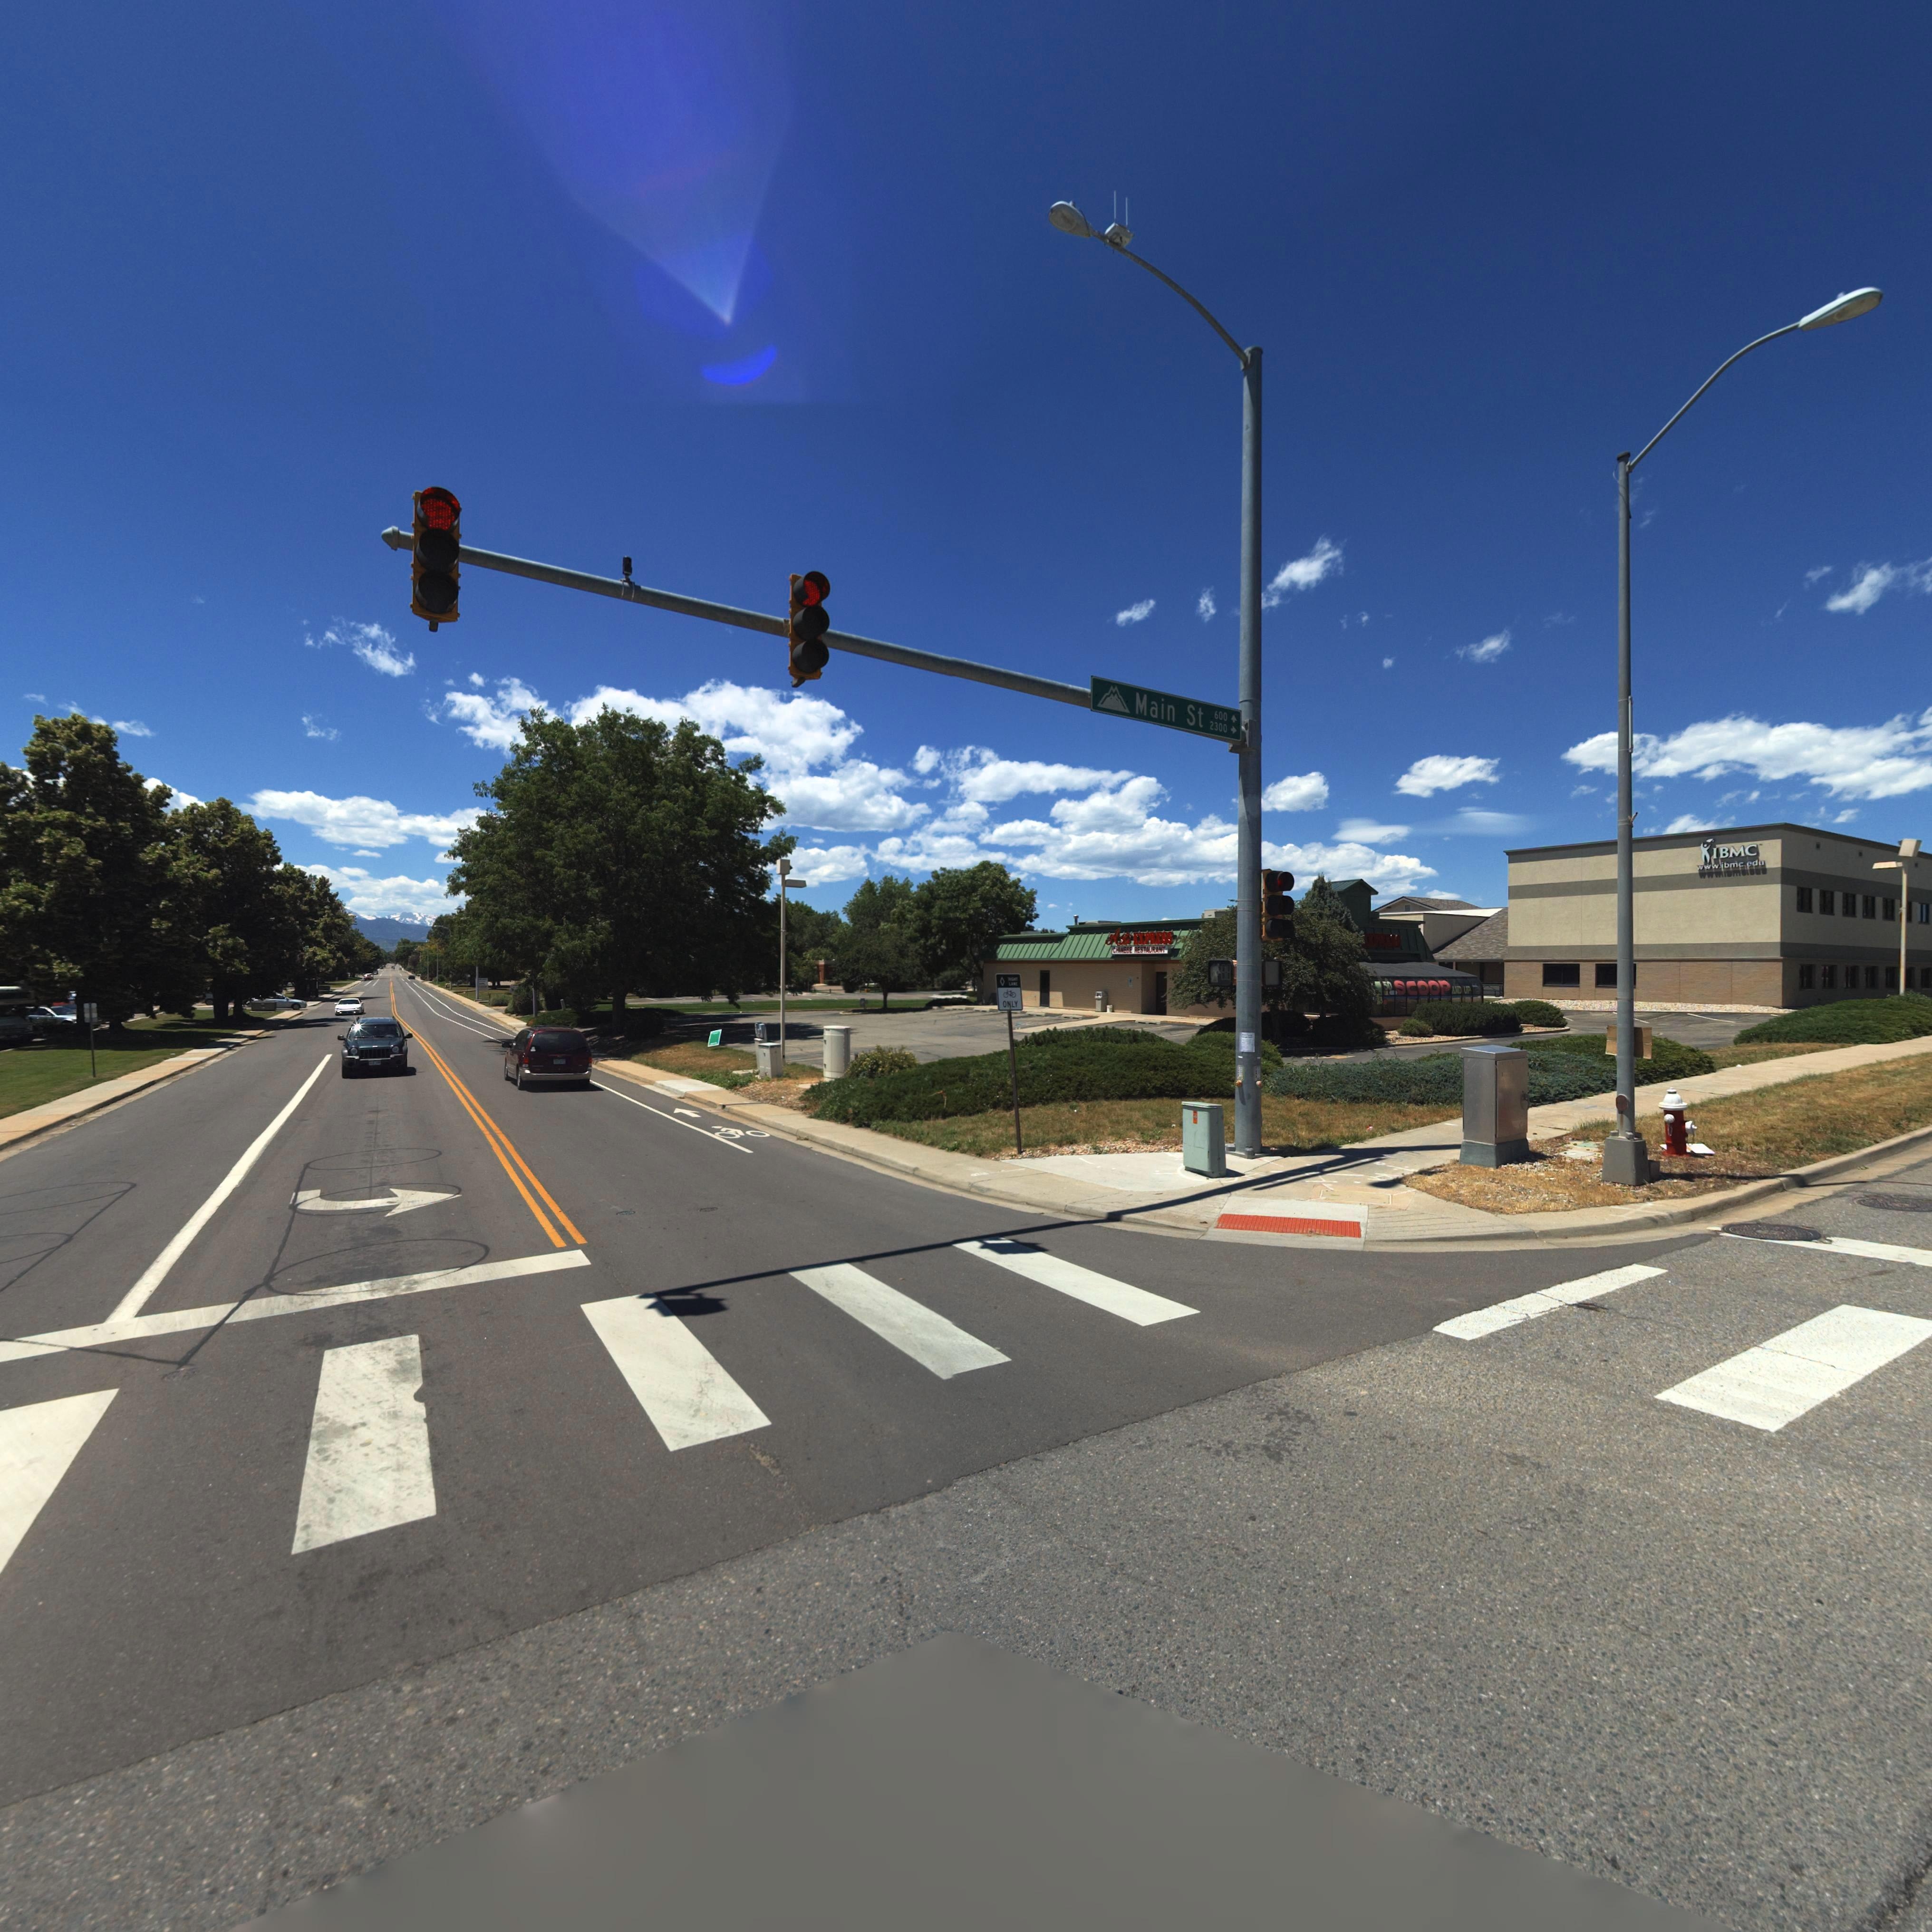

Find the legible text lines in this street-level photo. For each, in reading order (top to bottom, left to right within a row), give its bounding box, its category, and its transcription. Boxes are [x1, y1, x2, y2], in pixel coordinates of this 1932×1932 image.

[1135, 691, 1204, 728] StreetName: Main St
[1214, 710, 1227, 722] StreetNumberRange: 600
[1209, 720, 1237, 734] StreetNumberRange: 2300->
[1712, 843, 1758, 859] BusinessName: IBMC
[1104, 927, 1174, 946] BusinessName: Ali EXPRESS
[1363, 933, 1401, 947] BusinessName: EXPRESS